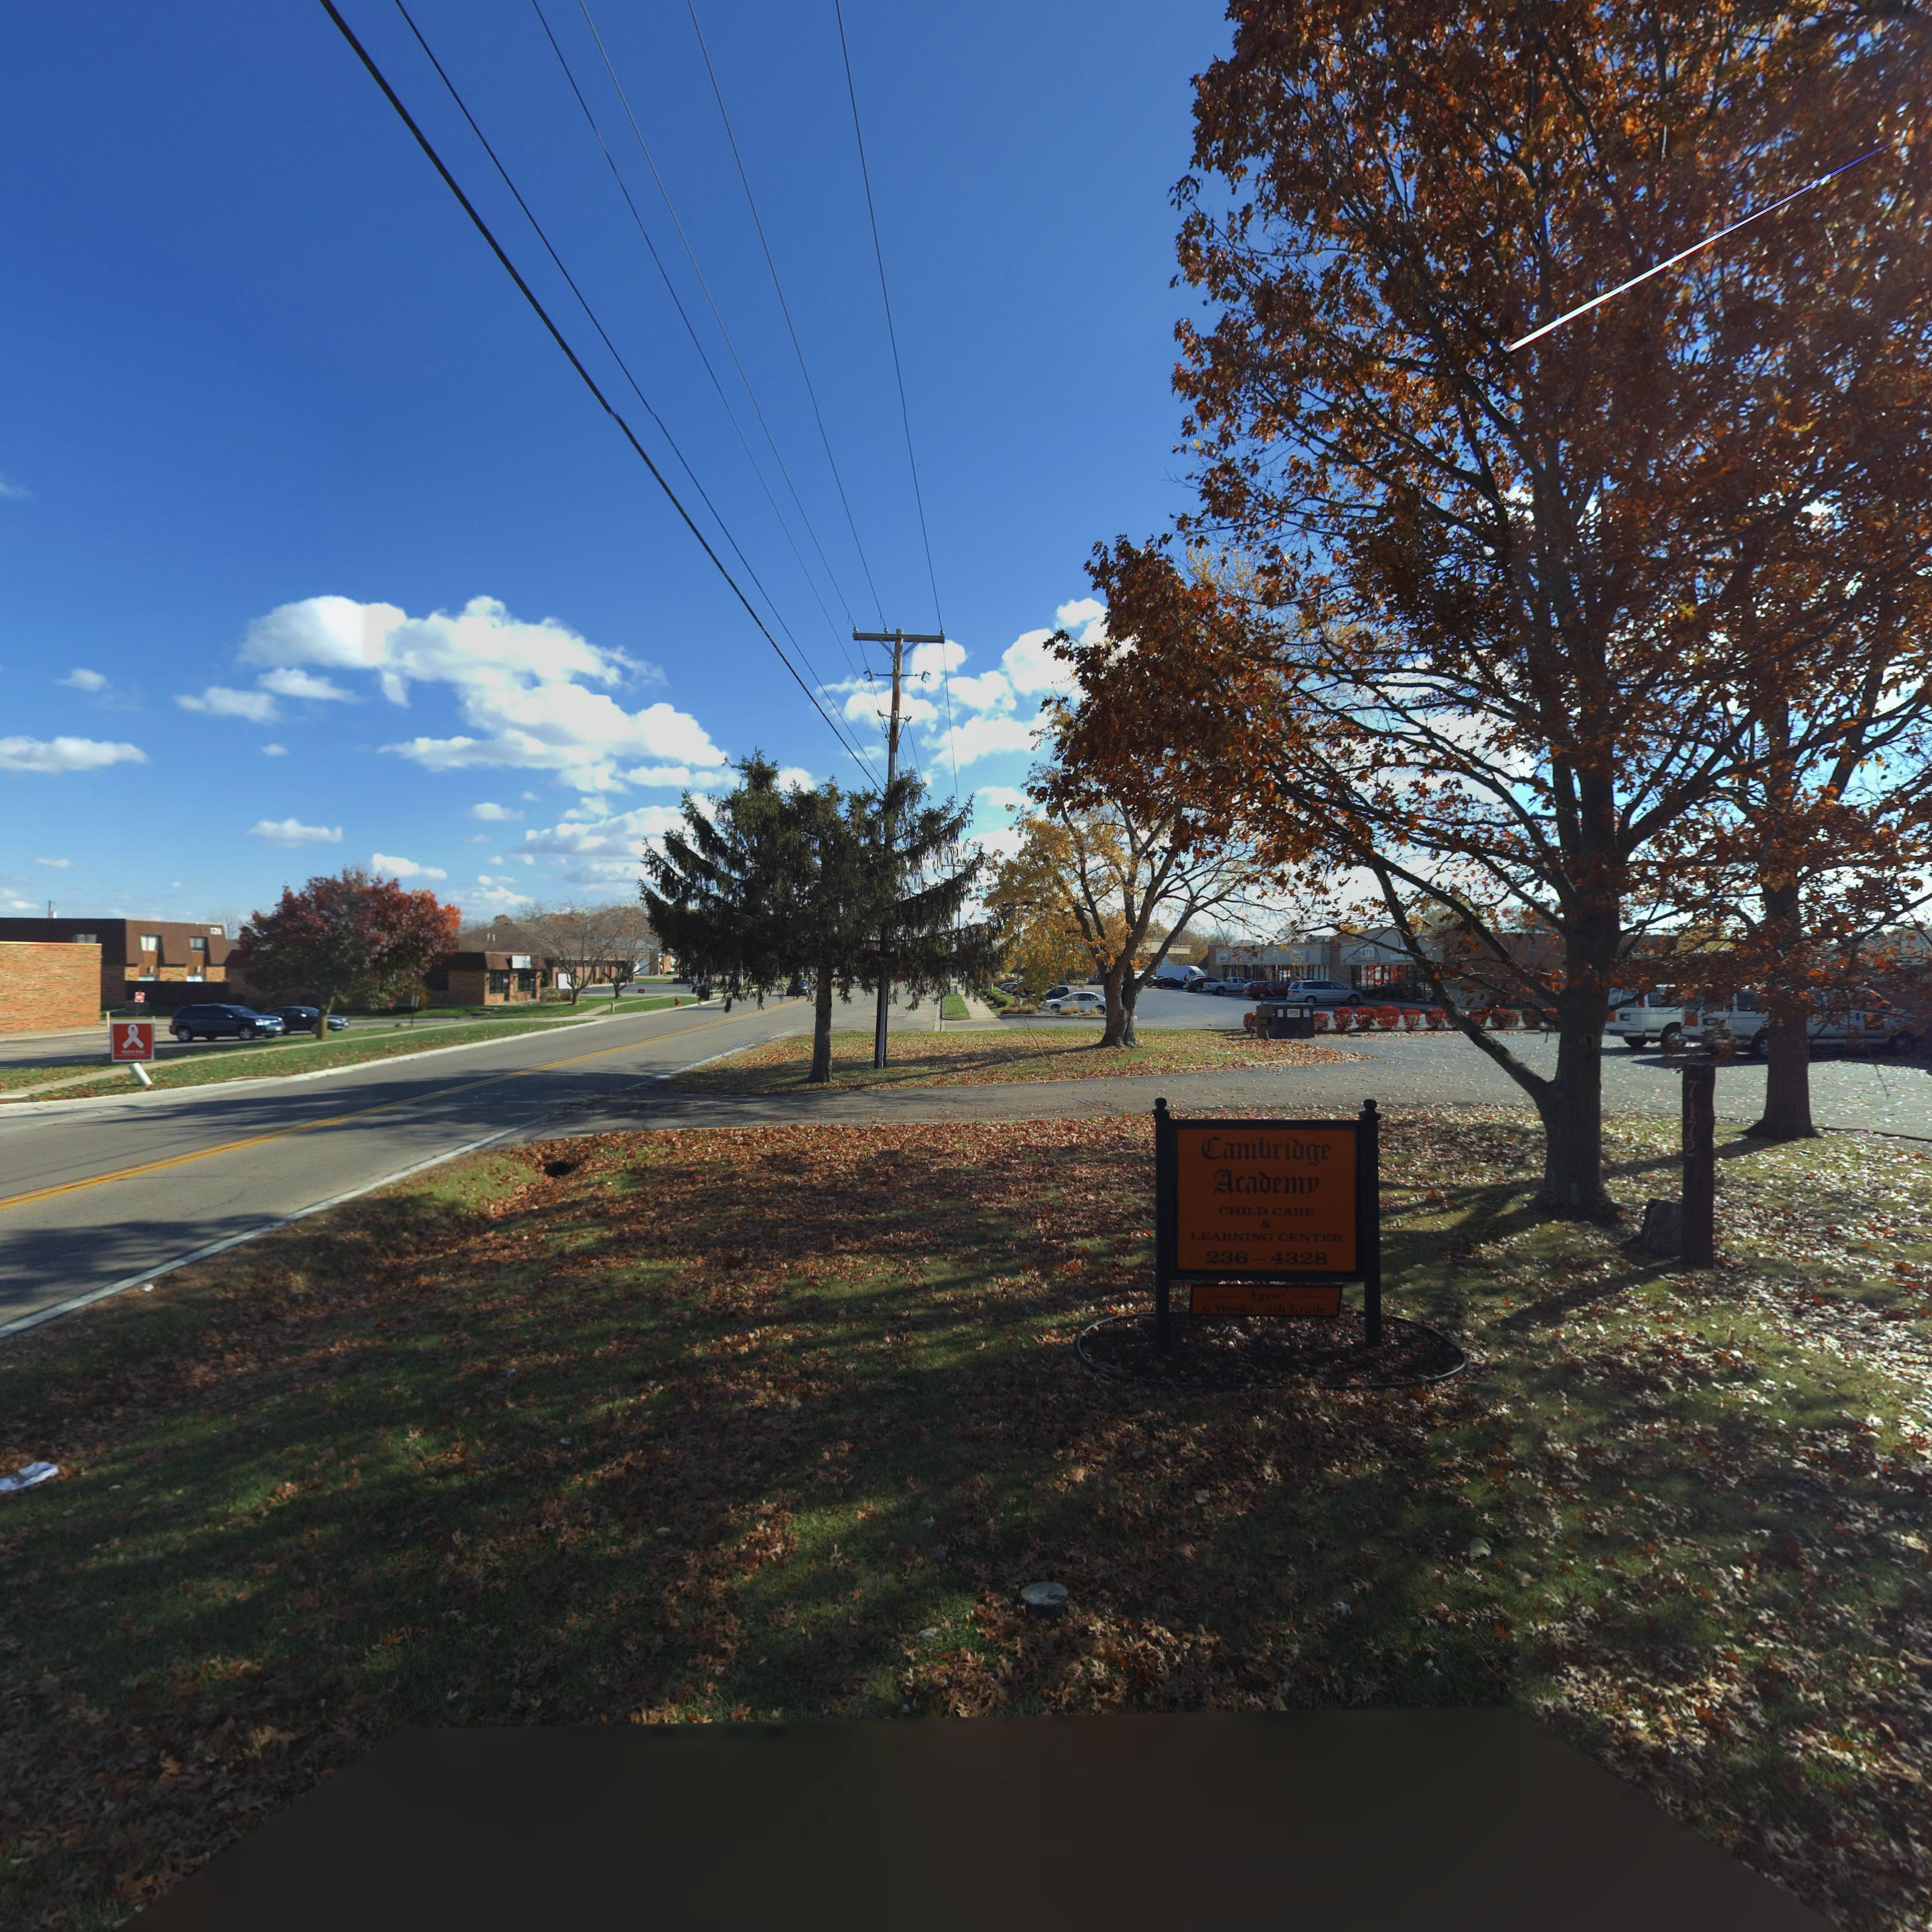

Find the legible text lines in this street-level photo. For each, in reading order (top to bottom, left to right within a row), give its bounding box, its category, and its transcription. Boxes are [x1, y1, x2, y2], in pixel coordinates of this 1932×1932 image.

[208, 927, 223, 936] StreetNumber: *2**
[1683, 1078, 1700, 1160] StreetNumber: 7172